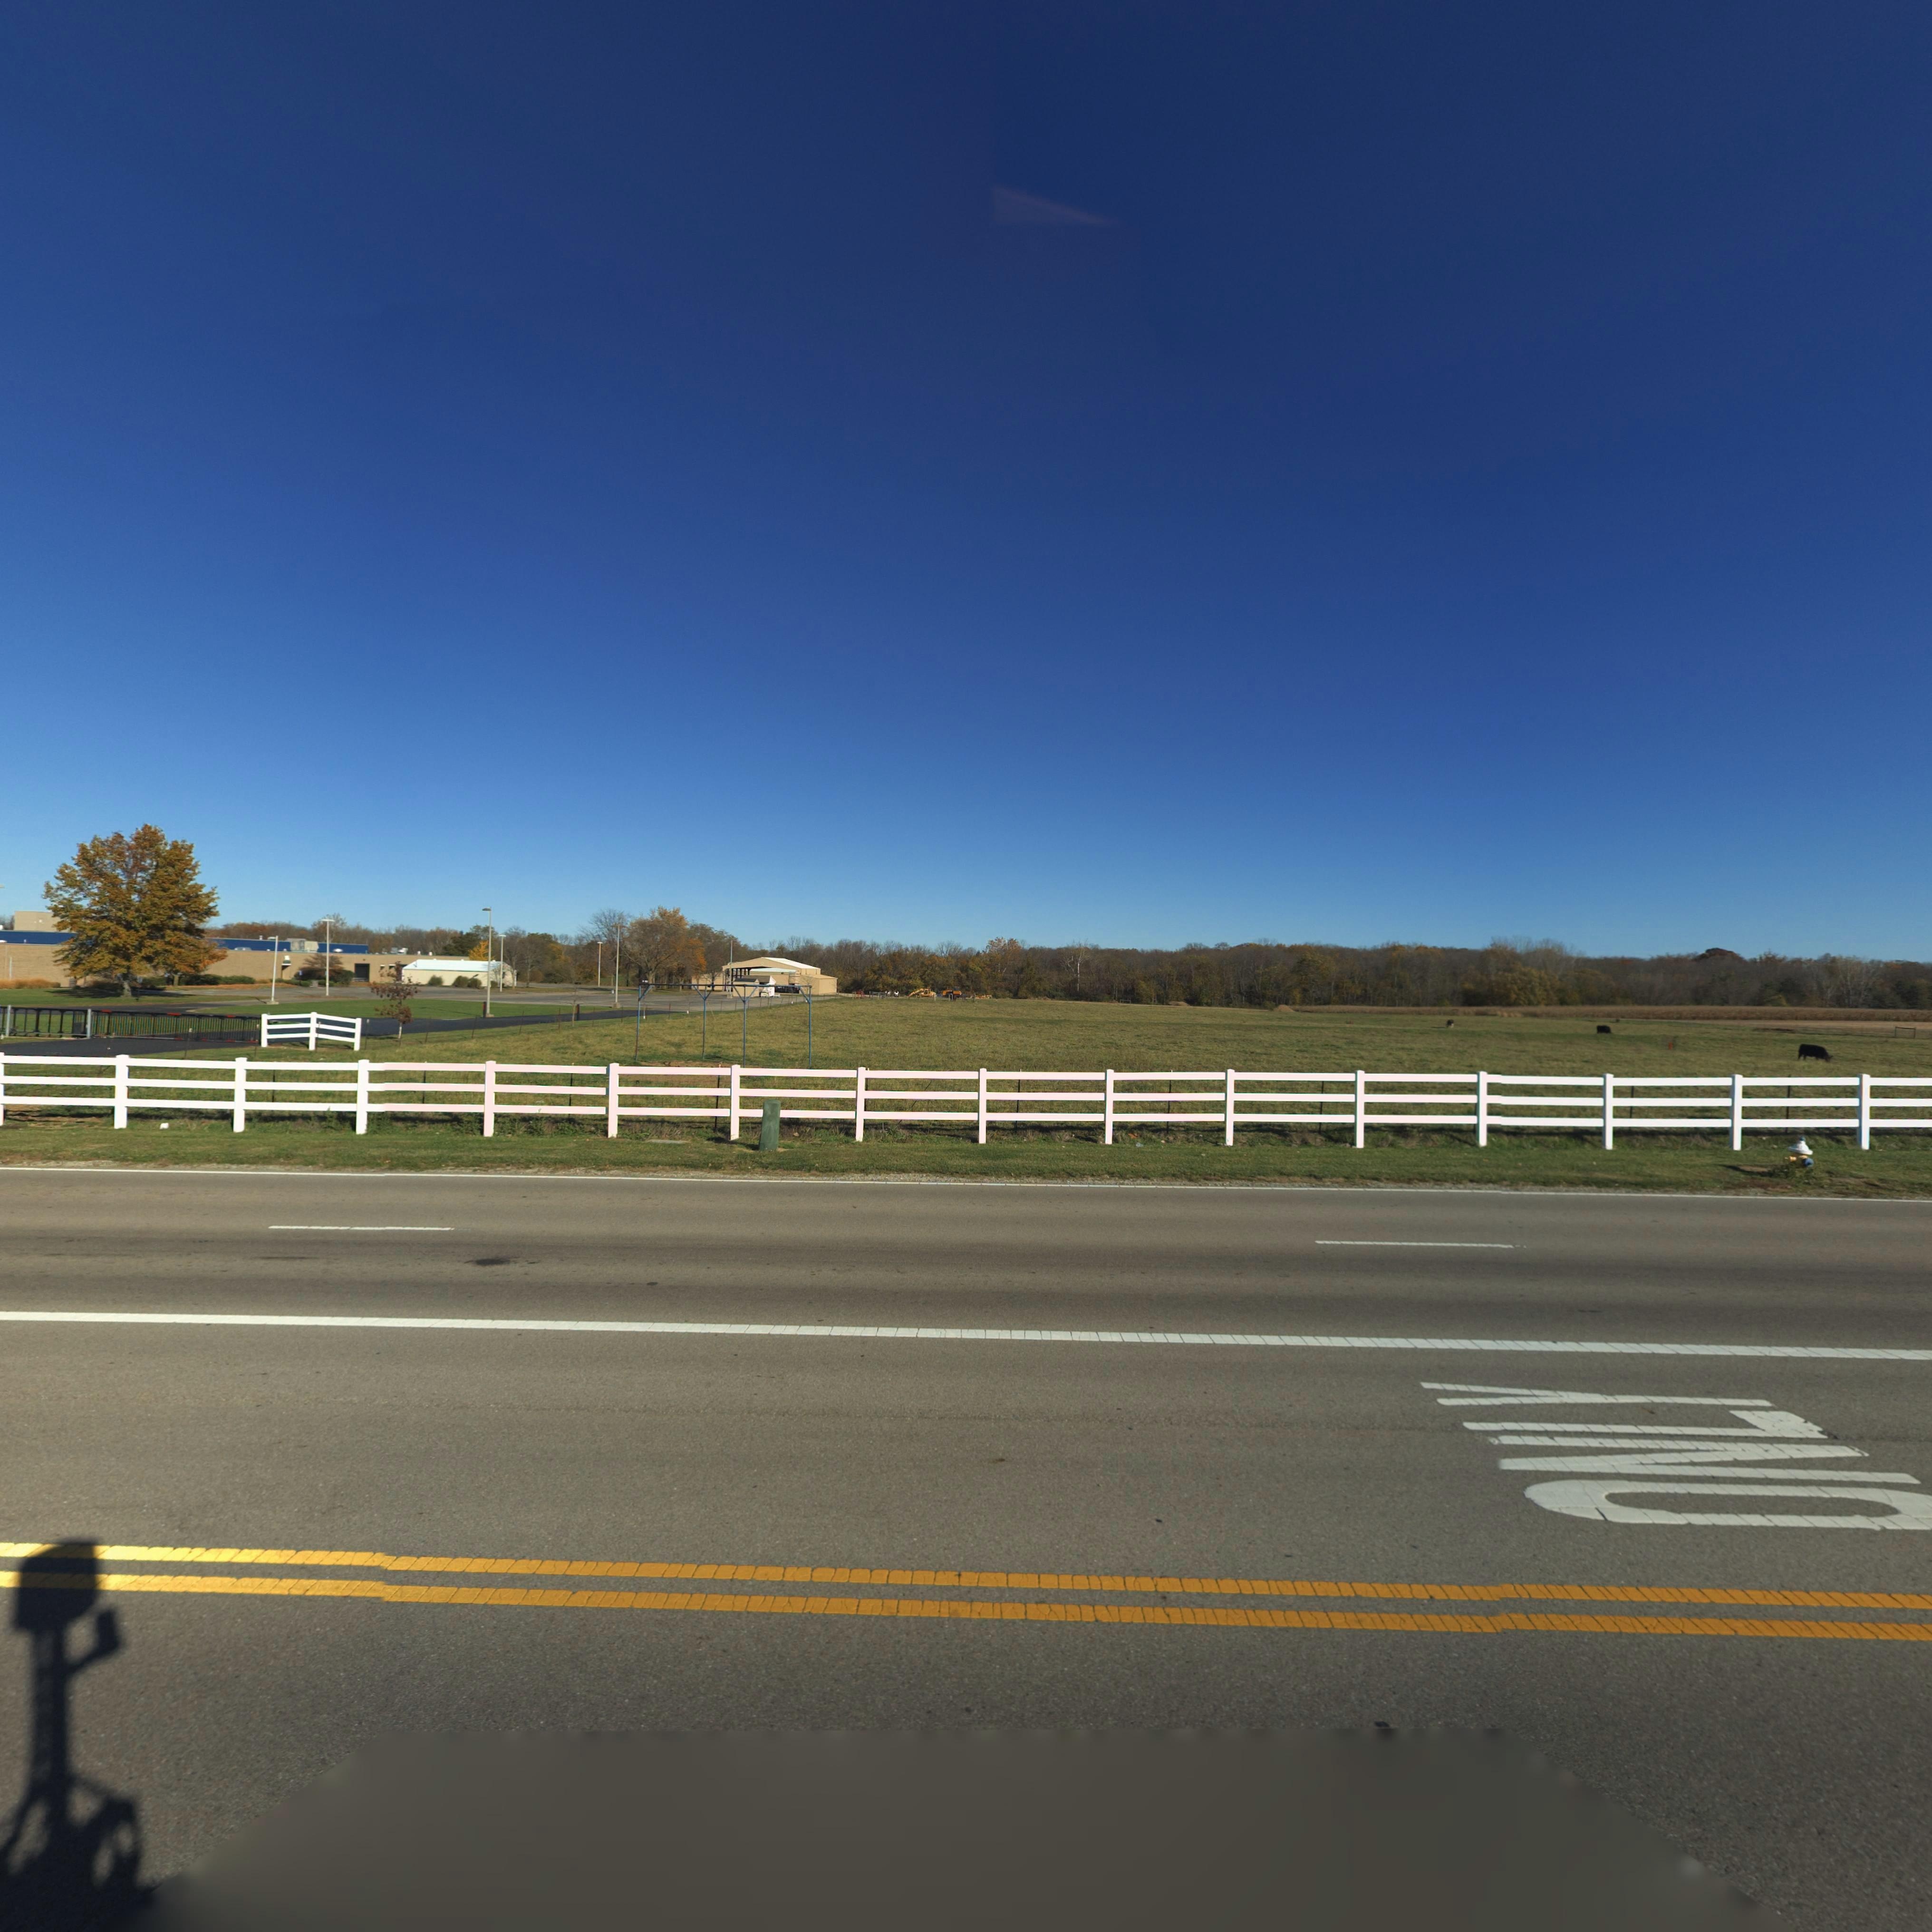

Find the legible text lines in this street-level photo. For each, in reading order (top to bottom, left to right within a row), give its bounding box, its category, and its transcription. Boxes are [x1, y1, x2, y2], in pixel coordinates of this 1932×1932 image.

[284, 955, 290, 960] StreetNumber: 16